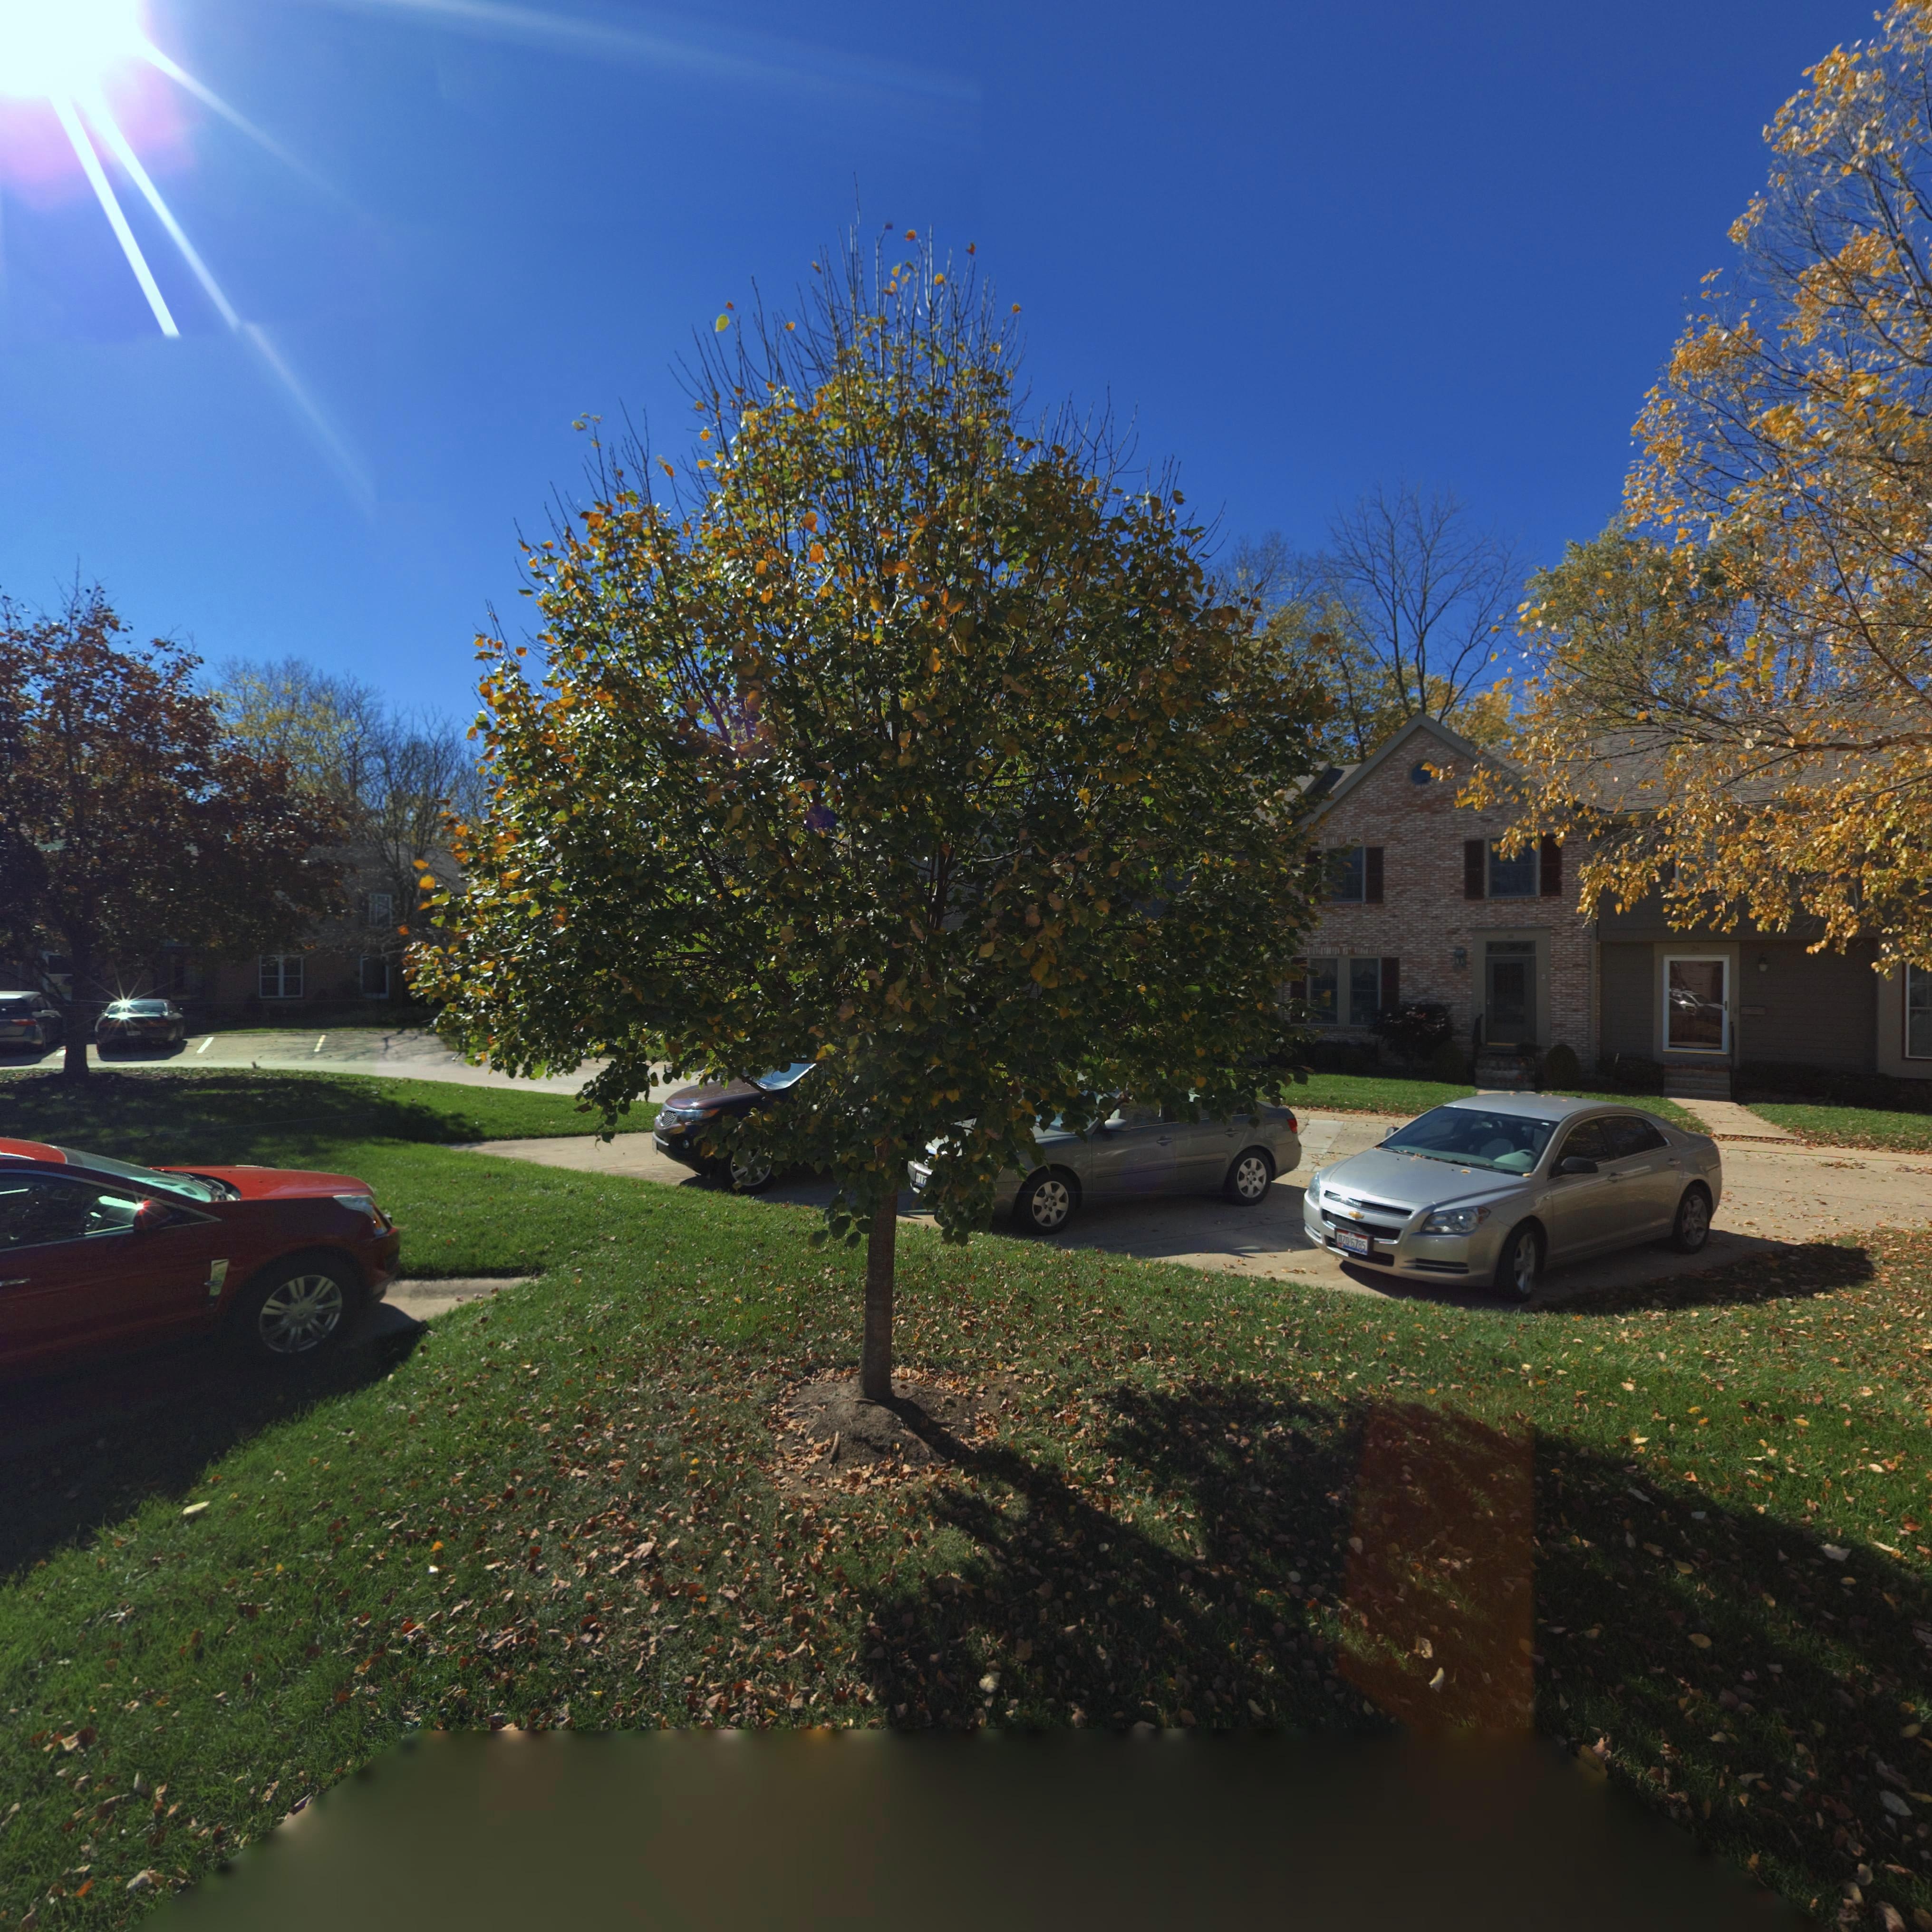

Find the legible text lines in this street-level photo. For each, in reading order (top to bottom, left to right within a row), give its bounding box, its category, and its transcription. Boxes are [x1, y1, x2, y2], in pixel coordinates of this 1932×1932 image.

[1690, 944, 1700, 952] StreetNumber: 24
[1337, 1234, 1367, 1252] None: DZQ*6785